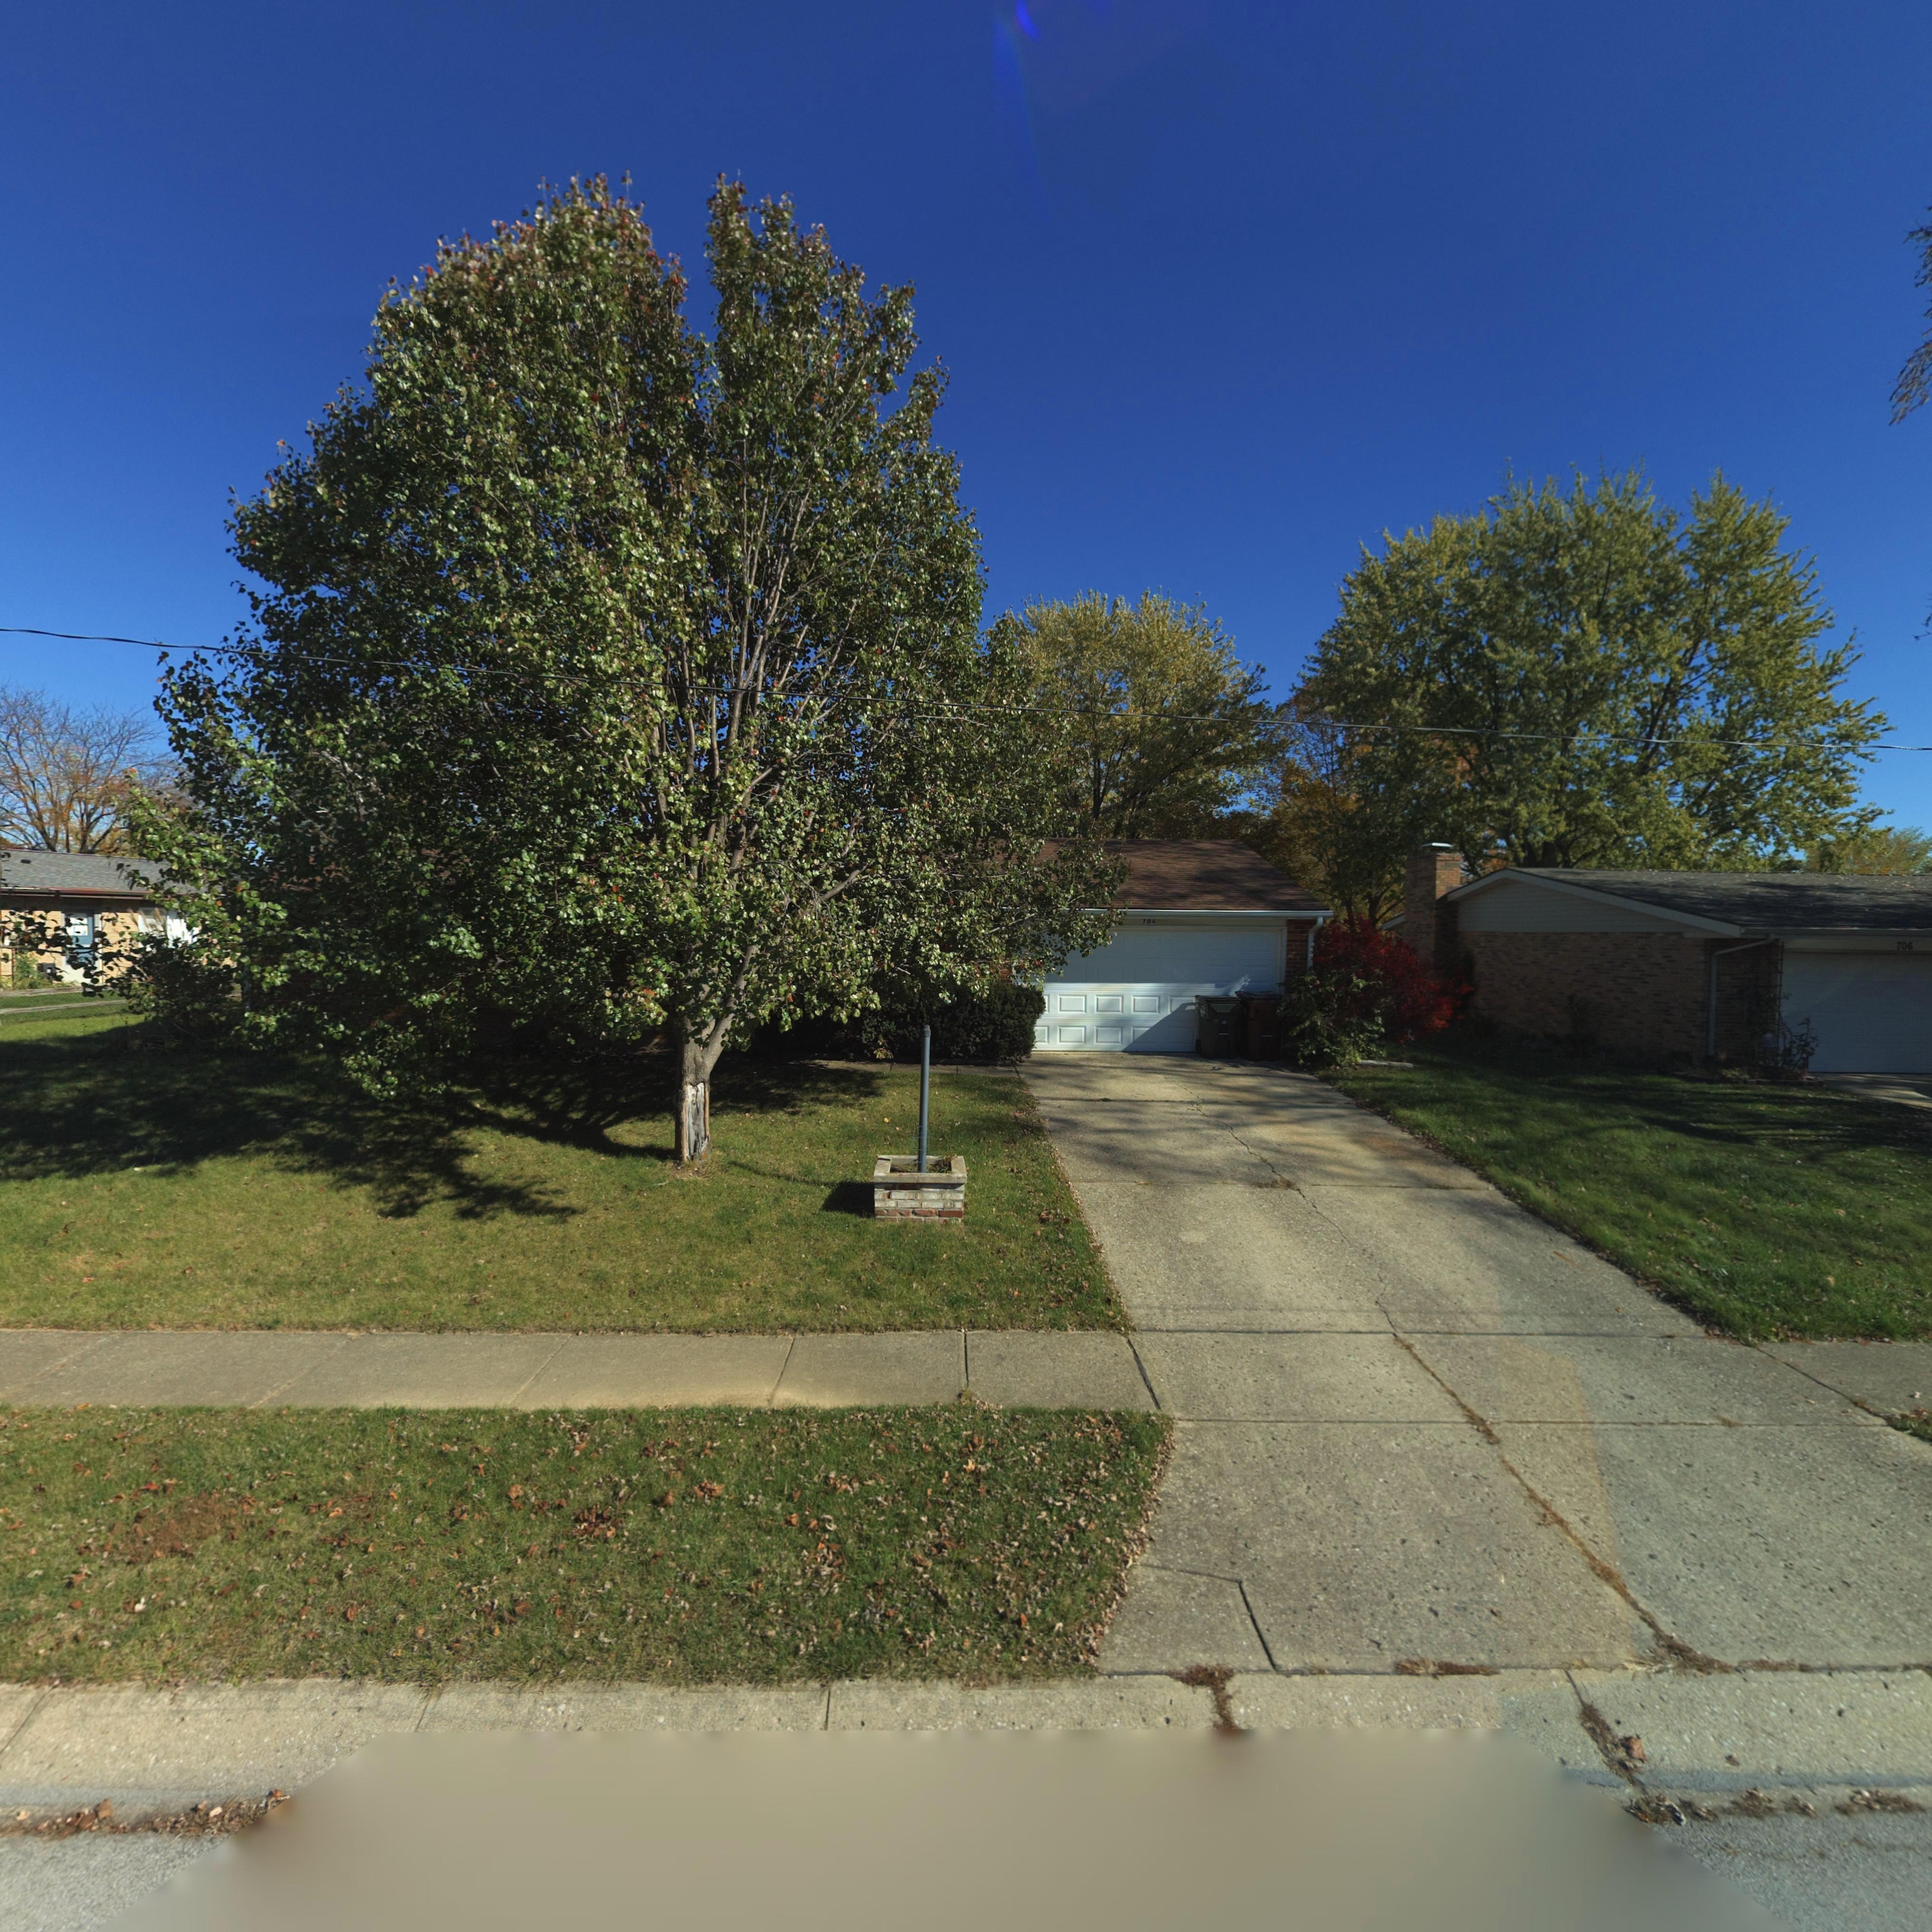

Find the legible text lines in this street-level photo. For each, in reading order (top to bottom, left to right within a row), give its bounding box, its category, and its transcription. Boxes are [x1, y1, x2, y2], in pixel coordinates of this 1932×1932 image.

[1142, 918, 1156, 924] StreetNumber: 704
[1896, 941, 1913, 950] StreetNumber: 706